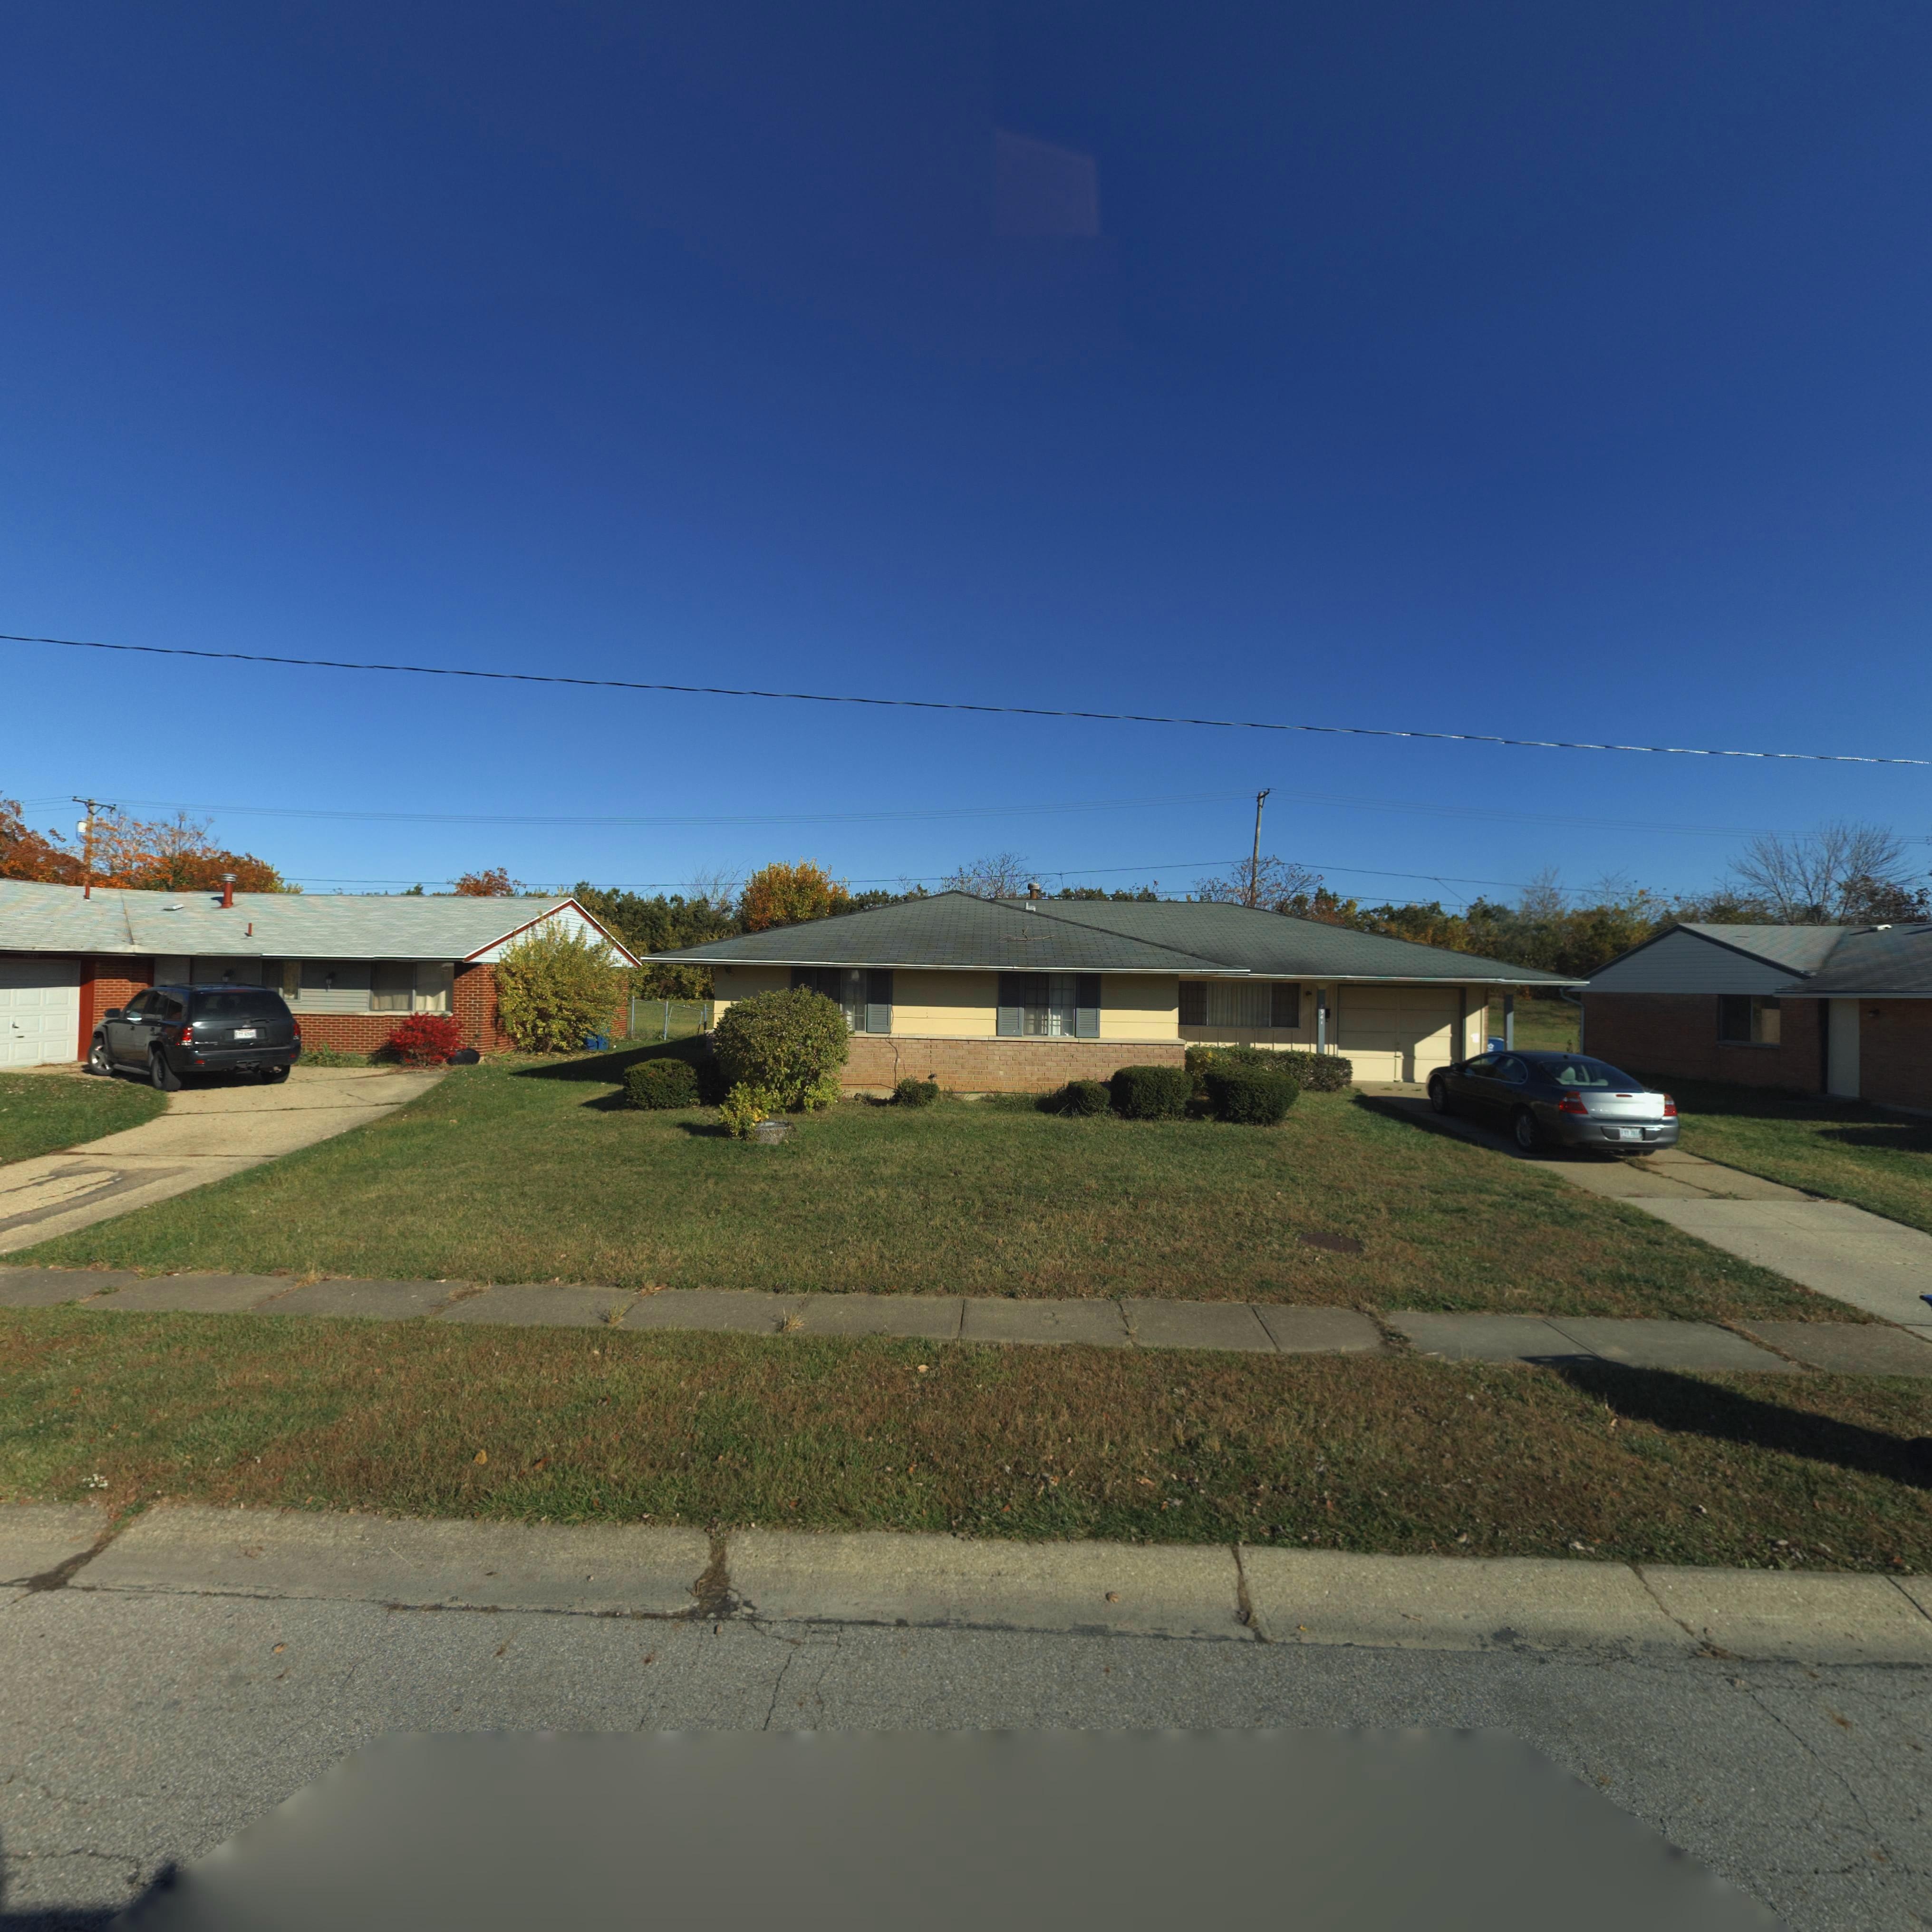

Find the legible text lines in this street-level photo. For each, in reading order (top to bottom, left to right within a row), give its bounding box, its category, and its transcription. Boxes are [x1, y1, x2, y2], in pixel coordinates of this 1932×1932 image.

[1319, 1003, 1325, 1026] StreetNumber: 7941